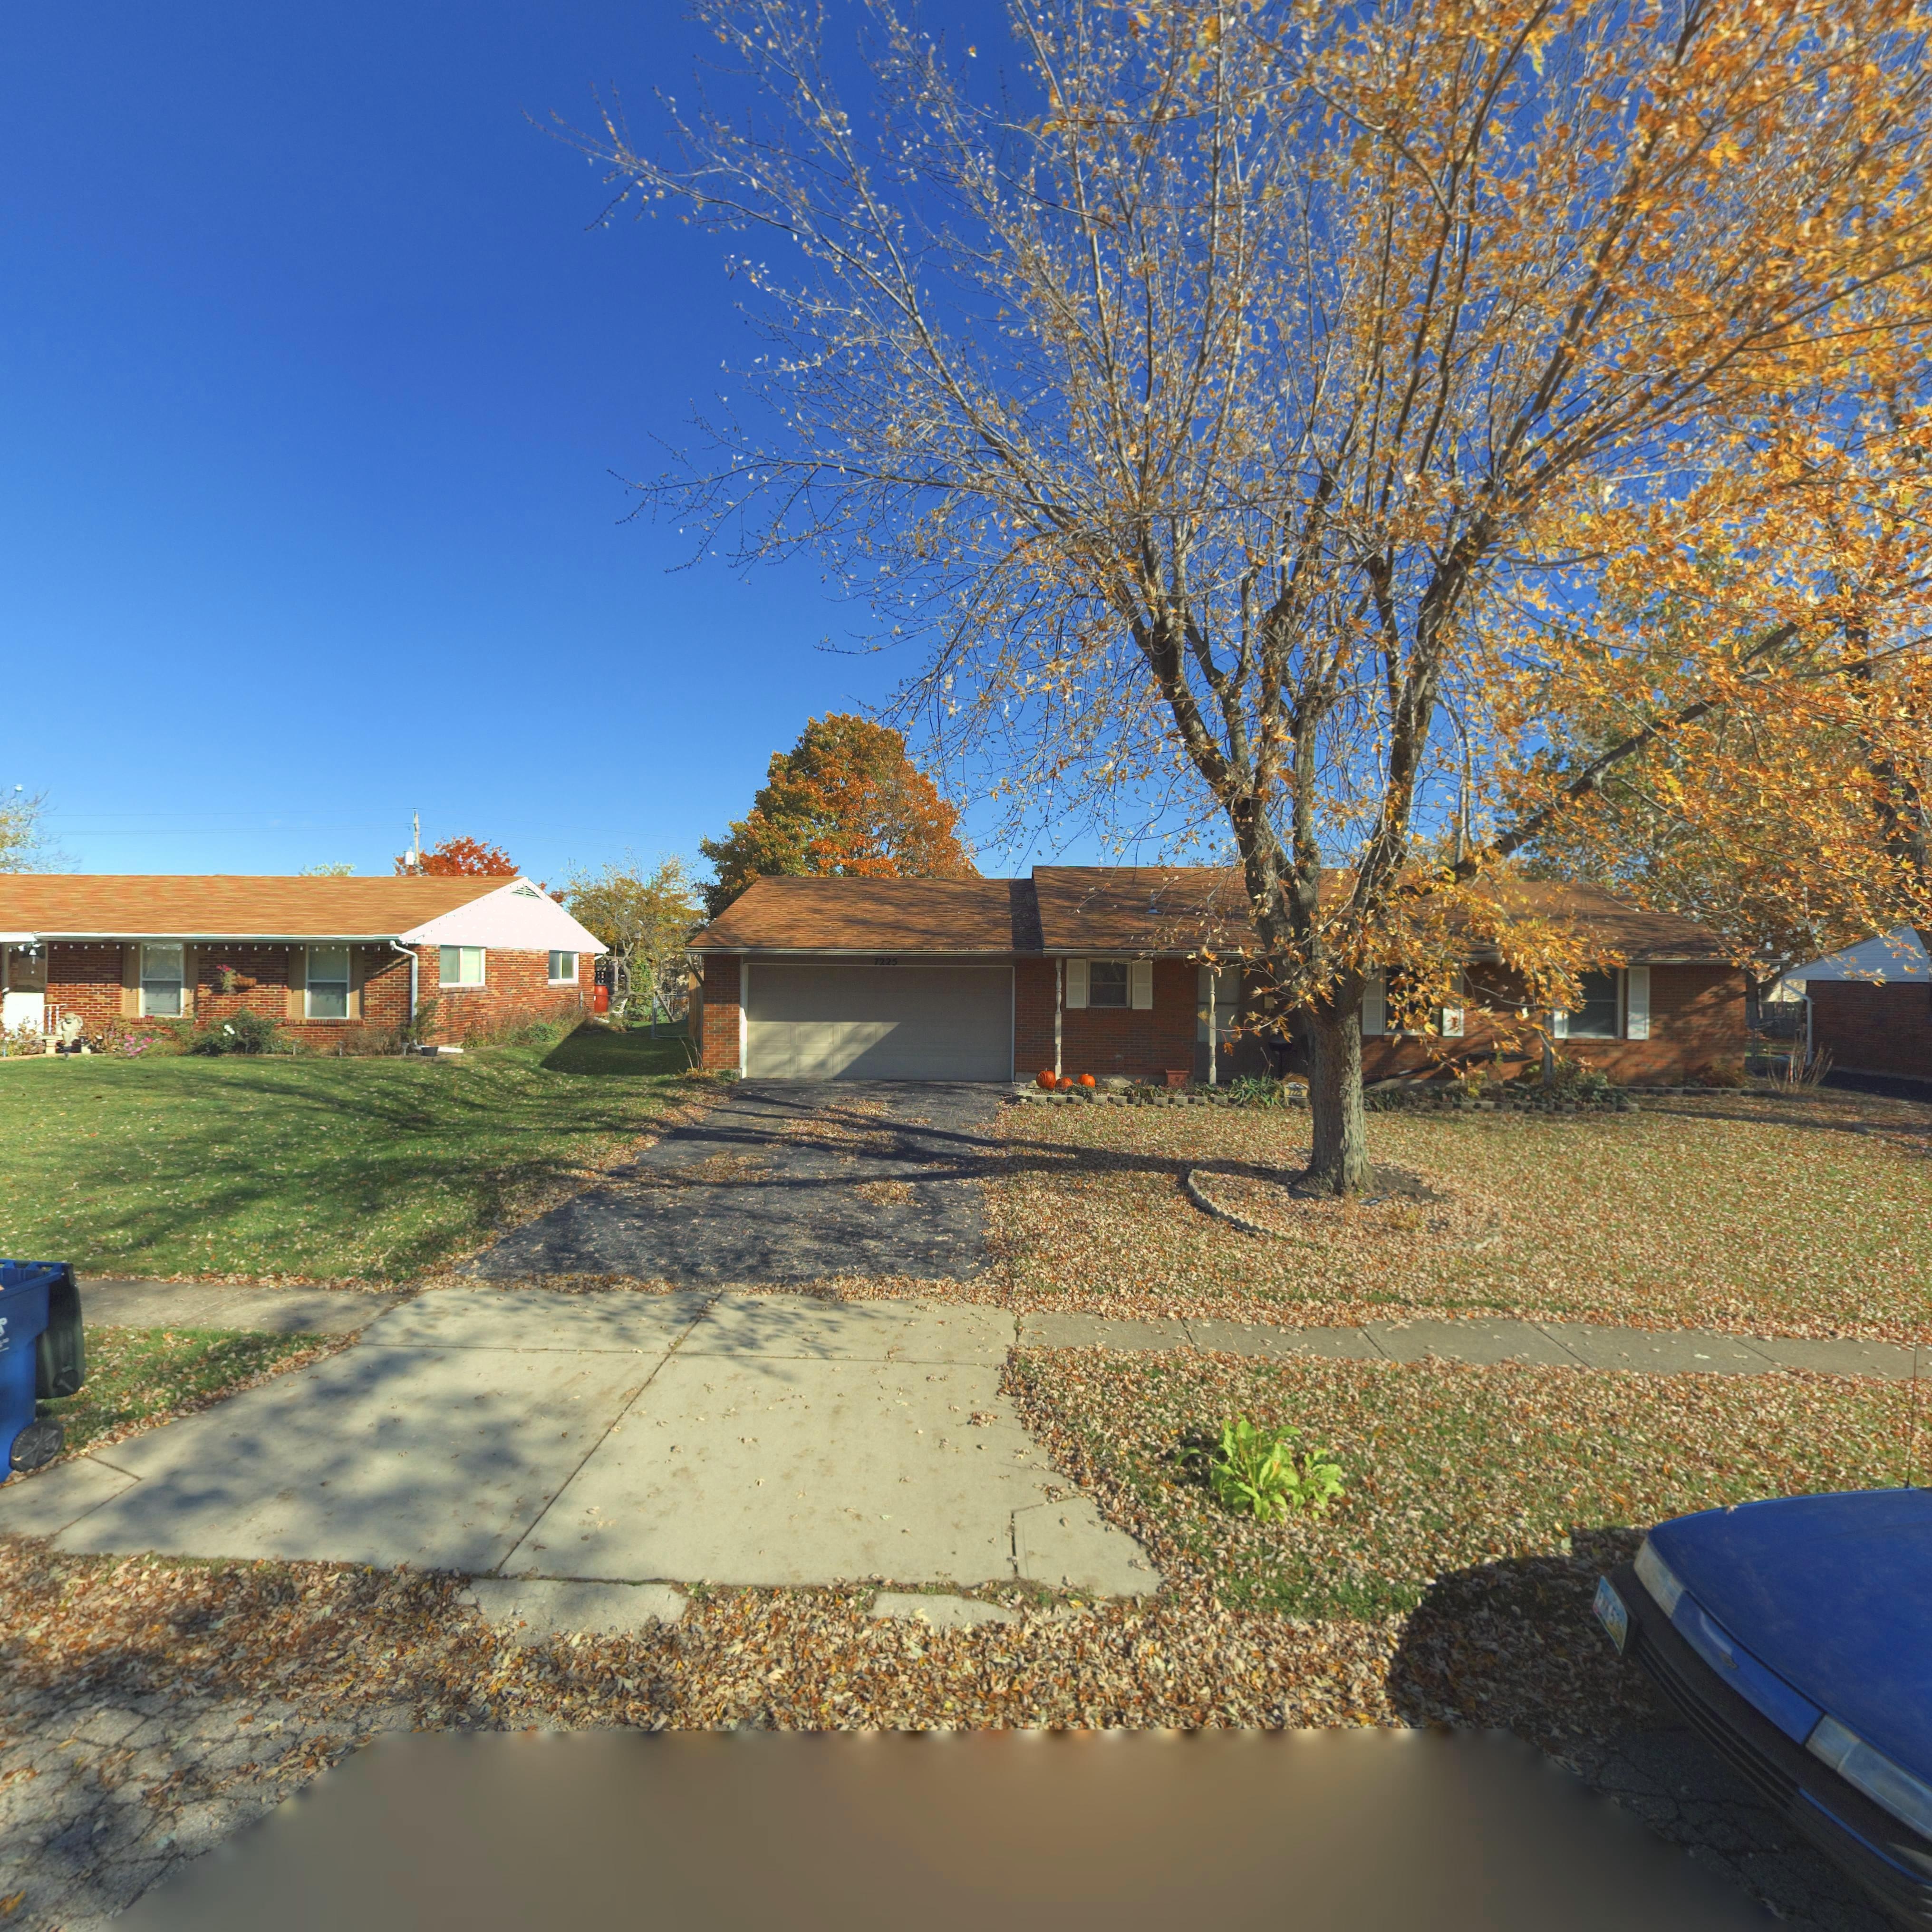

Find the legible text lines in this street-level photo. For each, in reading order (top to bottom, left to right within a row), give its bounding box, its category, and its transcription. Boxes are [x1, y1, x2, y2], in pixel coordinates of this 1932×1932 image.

[873, 957, 898, 967] StreetNumber: 7225
[1287, 1088, 1304, 1098] StreetNumber: ***5